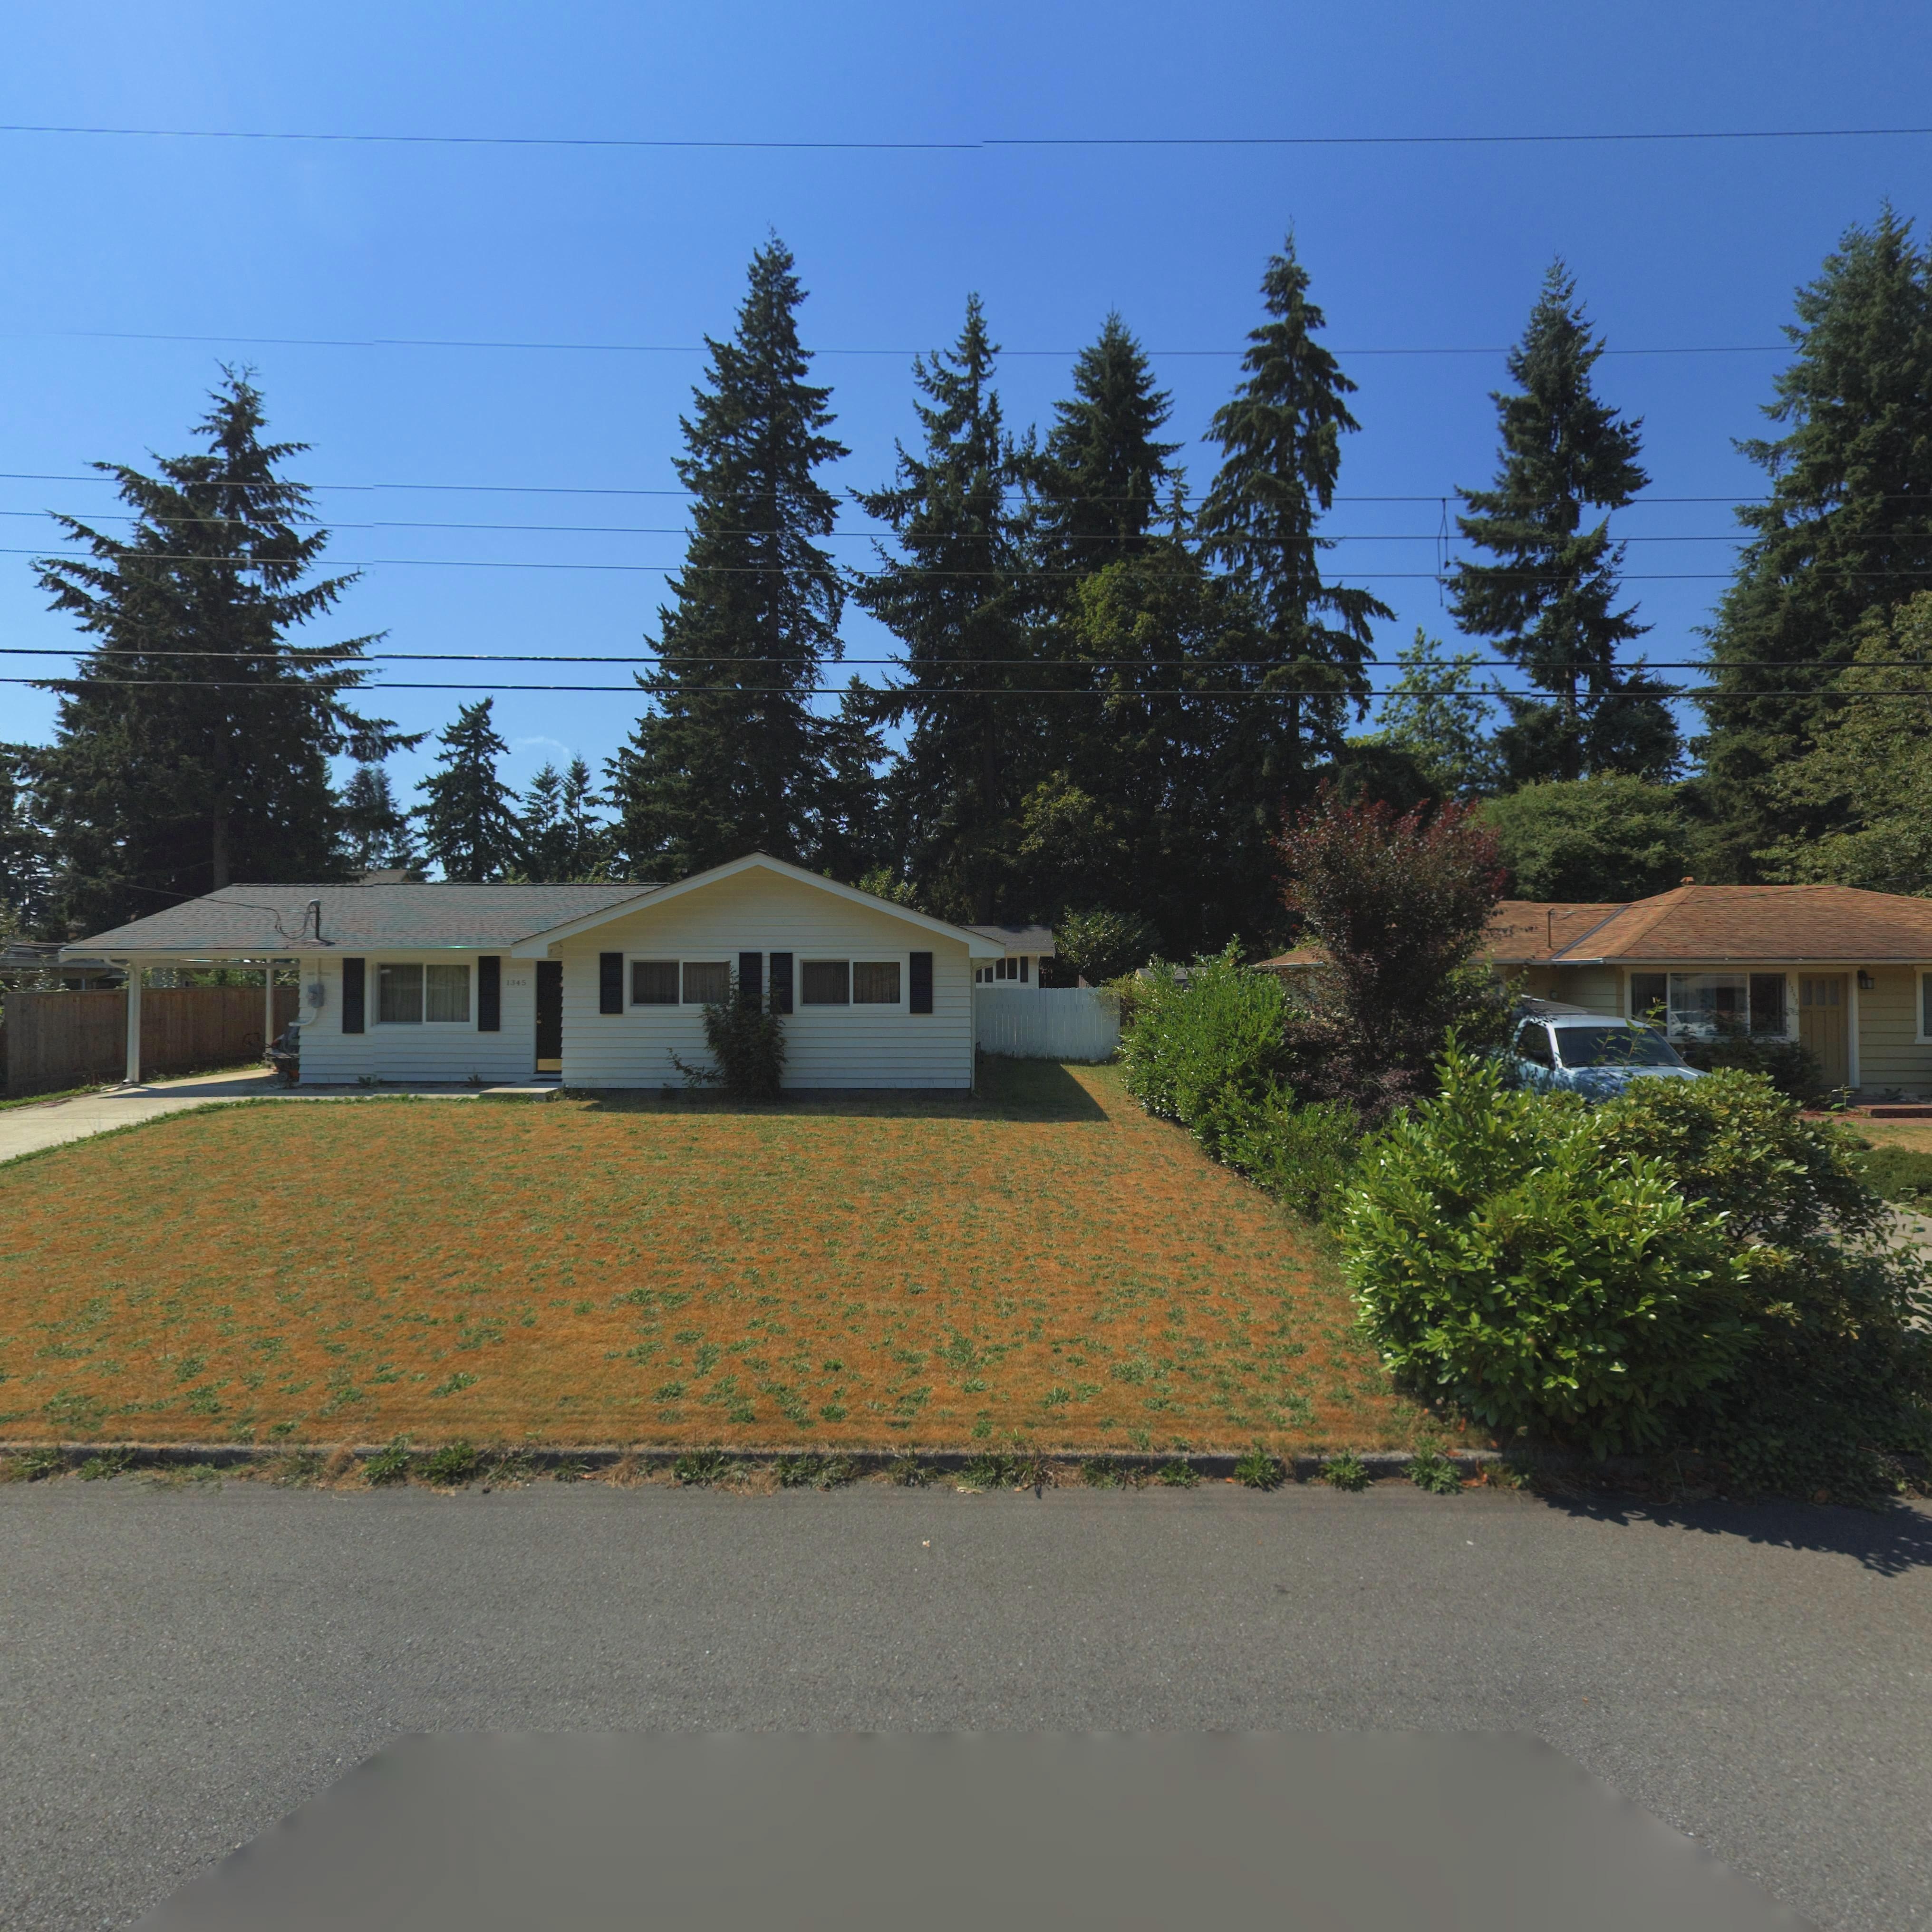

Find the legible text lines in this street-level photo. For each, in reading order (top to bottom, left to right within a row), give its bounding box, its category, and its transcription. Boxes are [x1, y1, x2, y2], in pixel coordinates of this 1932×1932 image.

[506, 979, 525, 985] StreetNumber: 1345